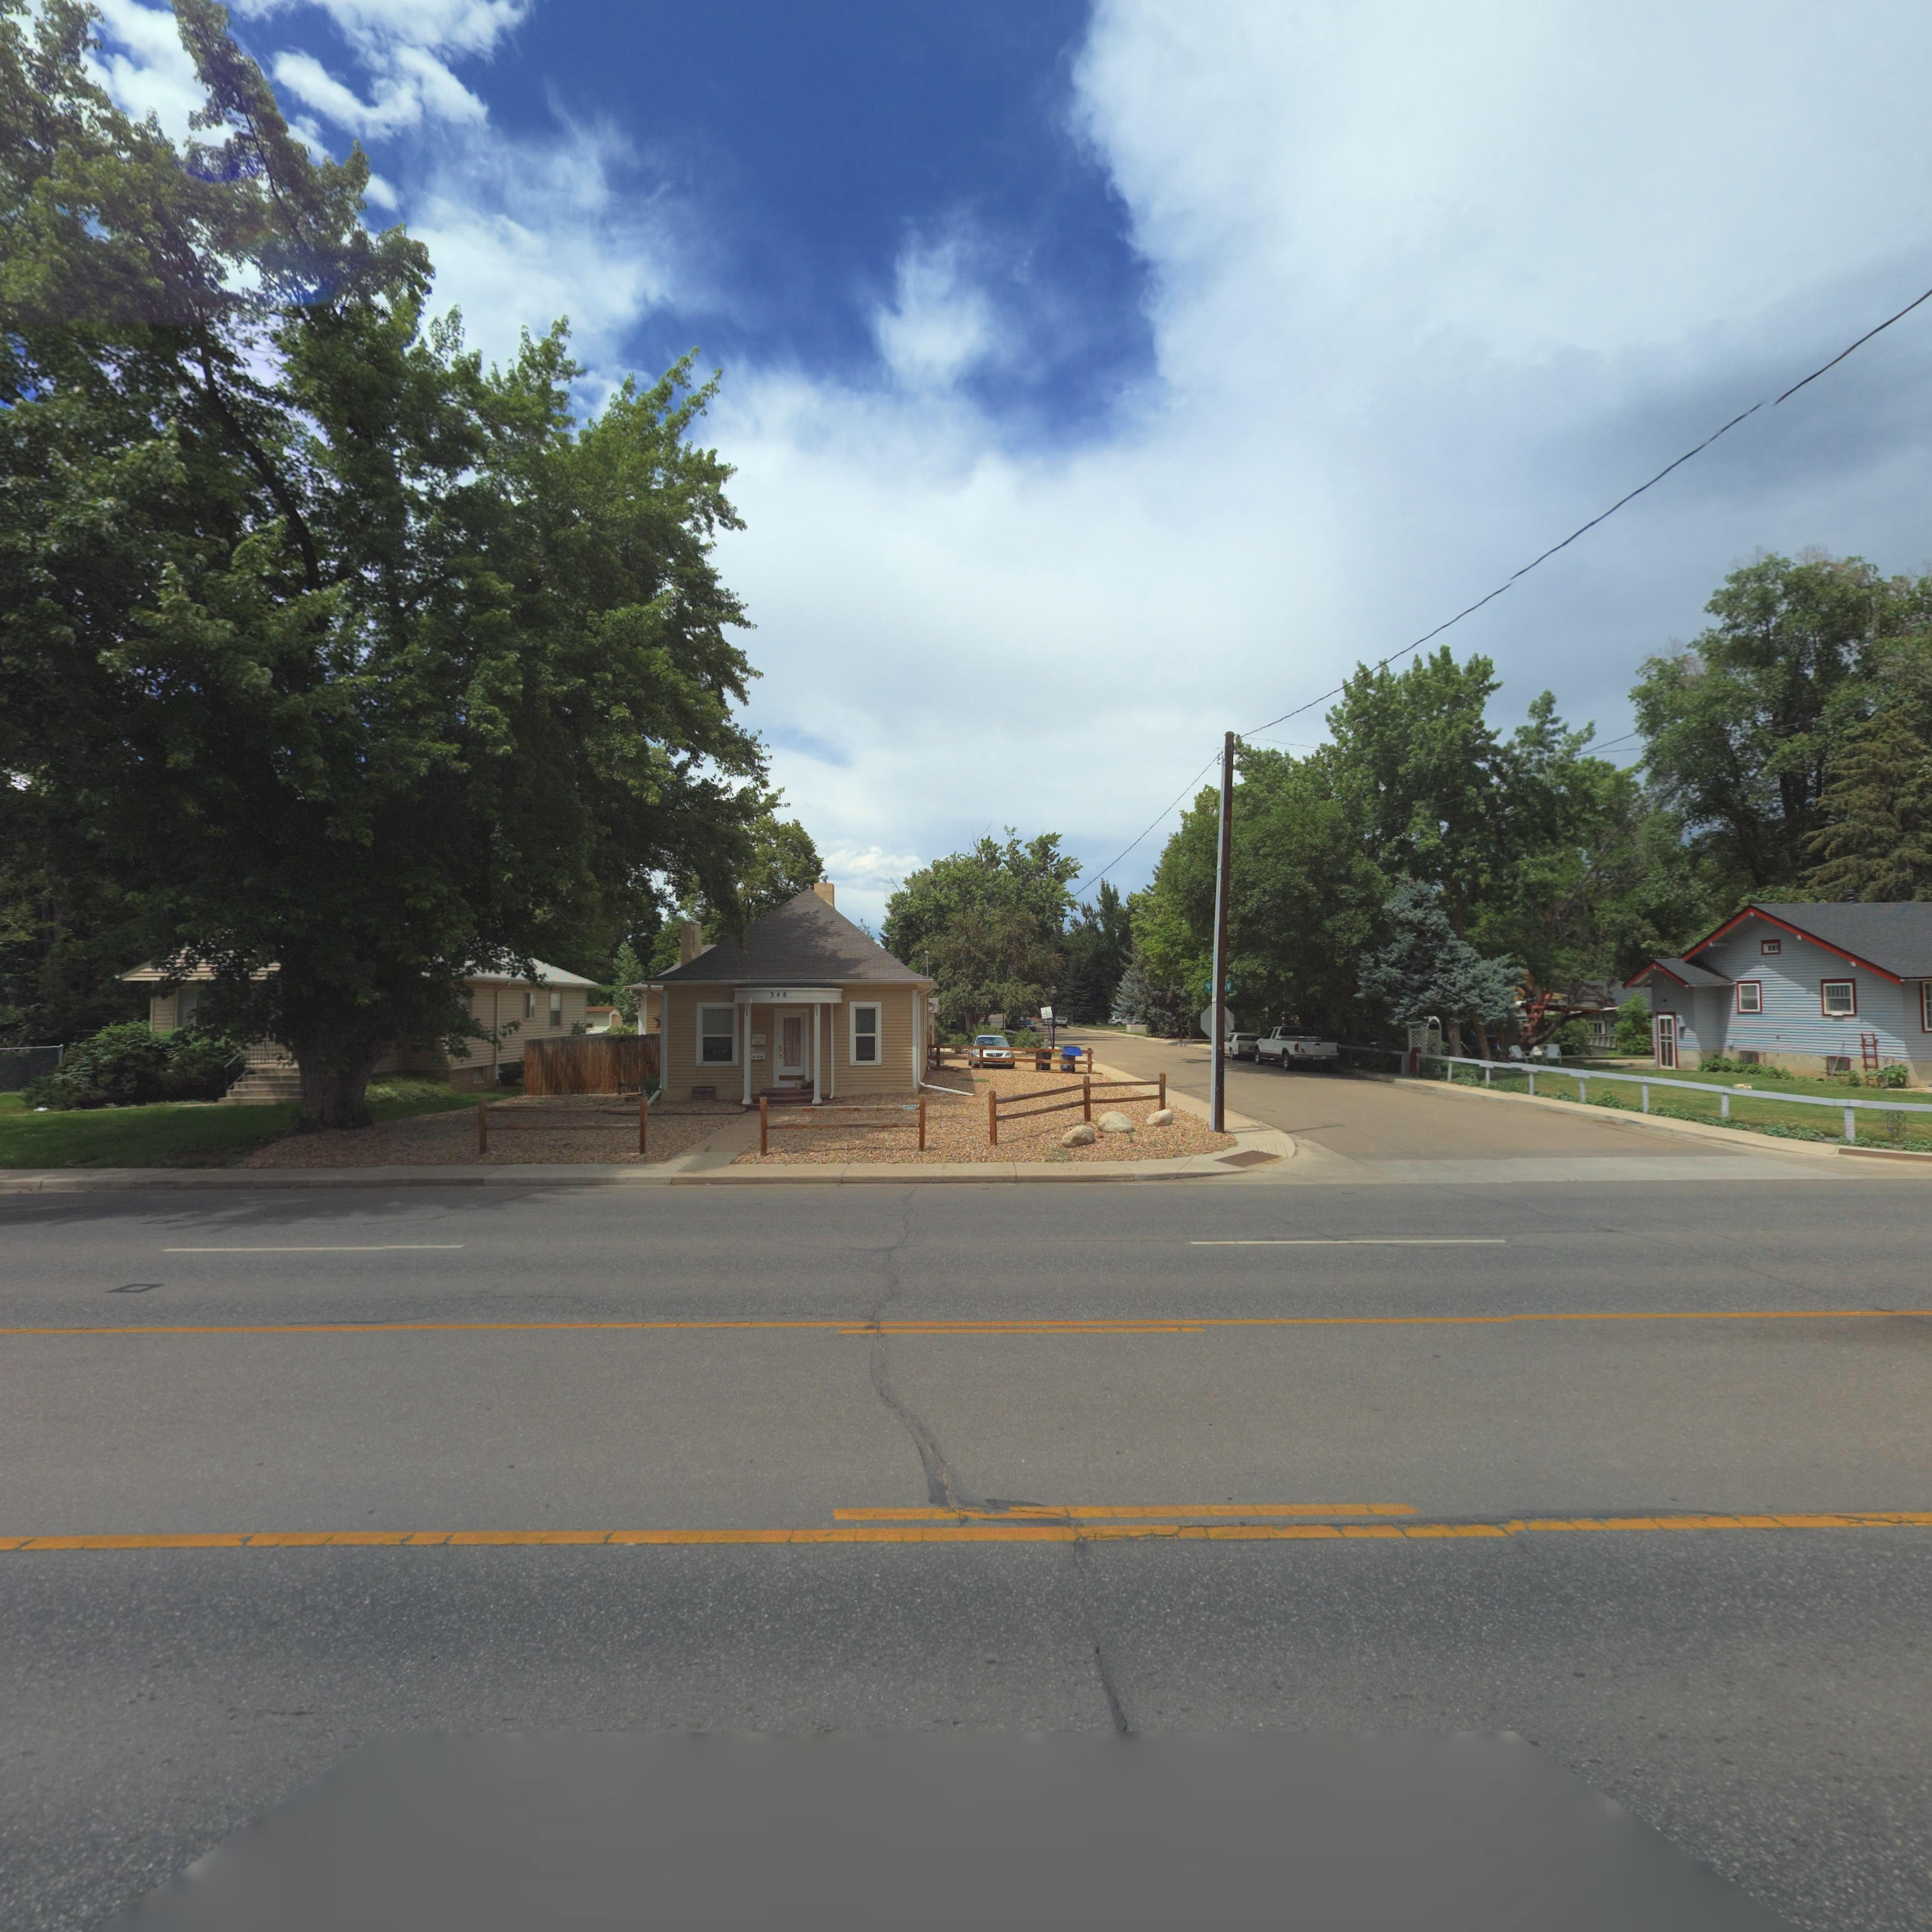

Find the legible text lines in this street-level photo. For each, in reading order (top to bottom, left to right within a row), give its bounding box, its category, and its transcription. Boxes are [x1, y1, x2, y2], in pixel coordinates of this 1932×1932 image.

[1205, 982, 1231, 990] StreetName: 9* *V
[769, 991, 786, 997] StreetNumber: 348